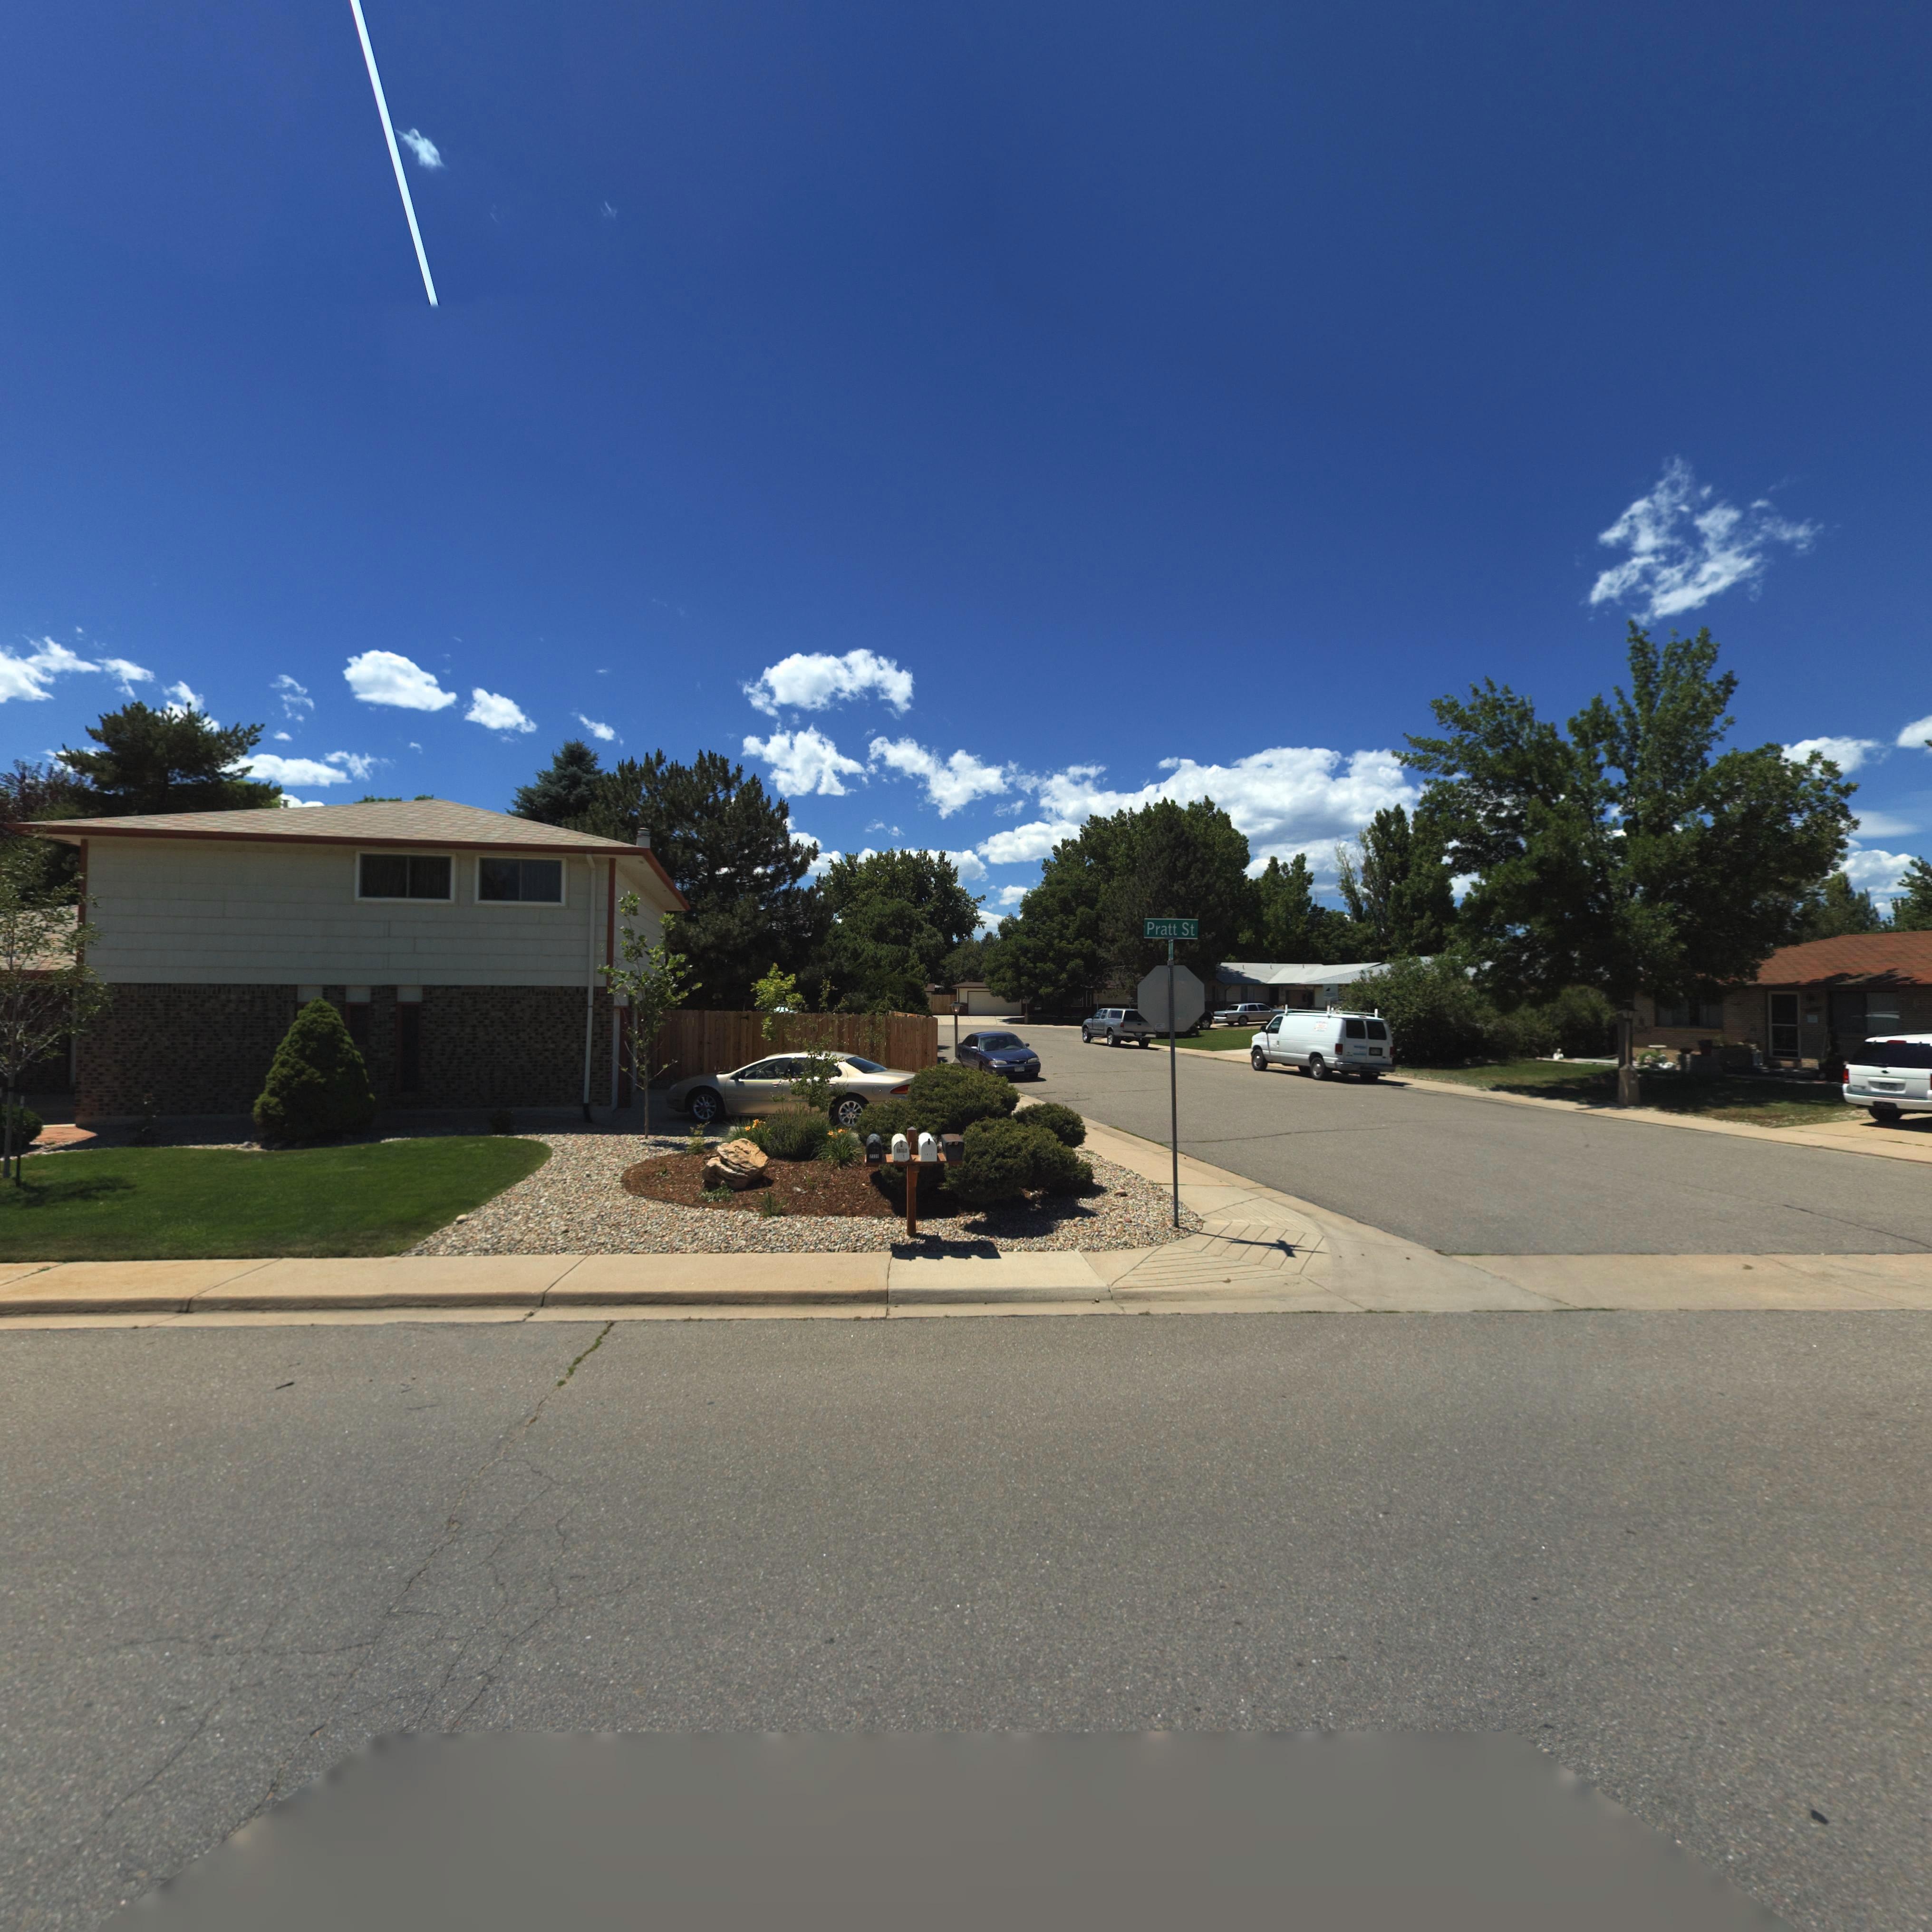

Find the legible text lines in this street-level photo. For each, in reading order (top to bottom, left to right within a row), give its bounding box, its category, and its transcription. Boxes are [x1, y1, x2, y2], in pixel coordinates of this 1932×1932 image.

[1146, 921, 1195, 936] StreetName: Pratt St
[947, 1141, 959, 1145] StreetNumber: 2**7
[869, 1154, 879, 1158] StreetNumber: 233*
[924, 1153, 932, 1156] StreetNumber: *41*